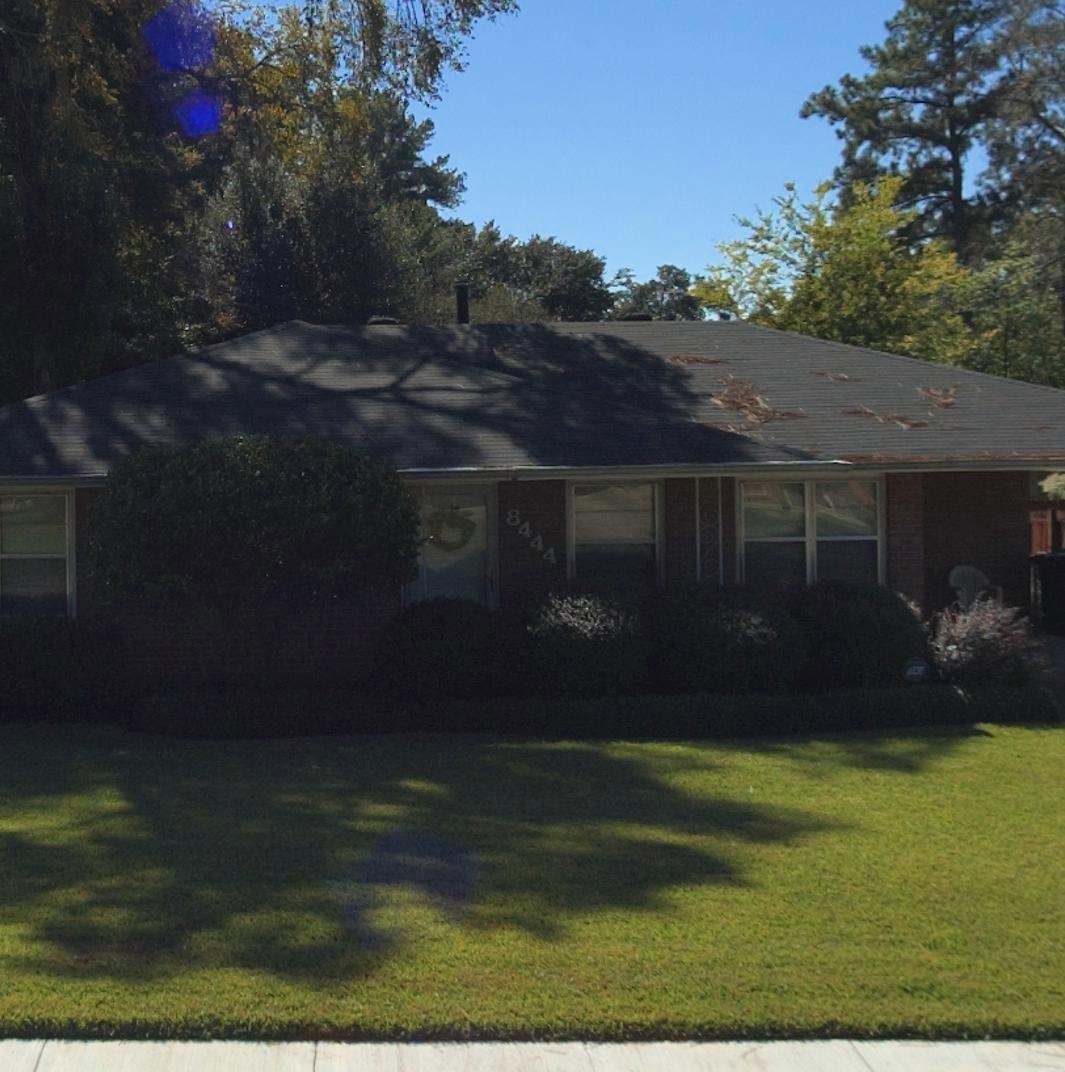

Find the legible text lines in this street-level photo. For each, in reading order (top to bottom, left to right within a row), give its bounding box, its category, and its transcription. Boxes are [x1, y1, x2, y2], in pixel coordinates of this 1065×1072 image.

[503, 506, 558, 567] StreetNumber: 8444